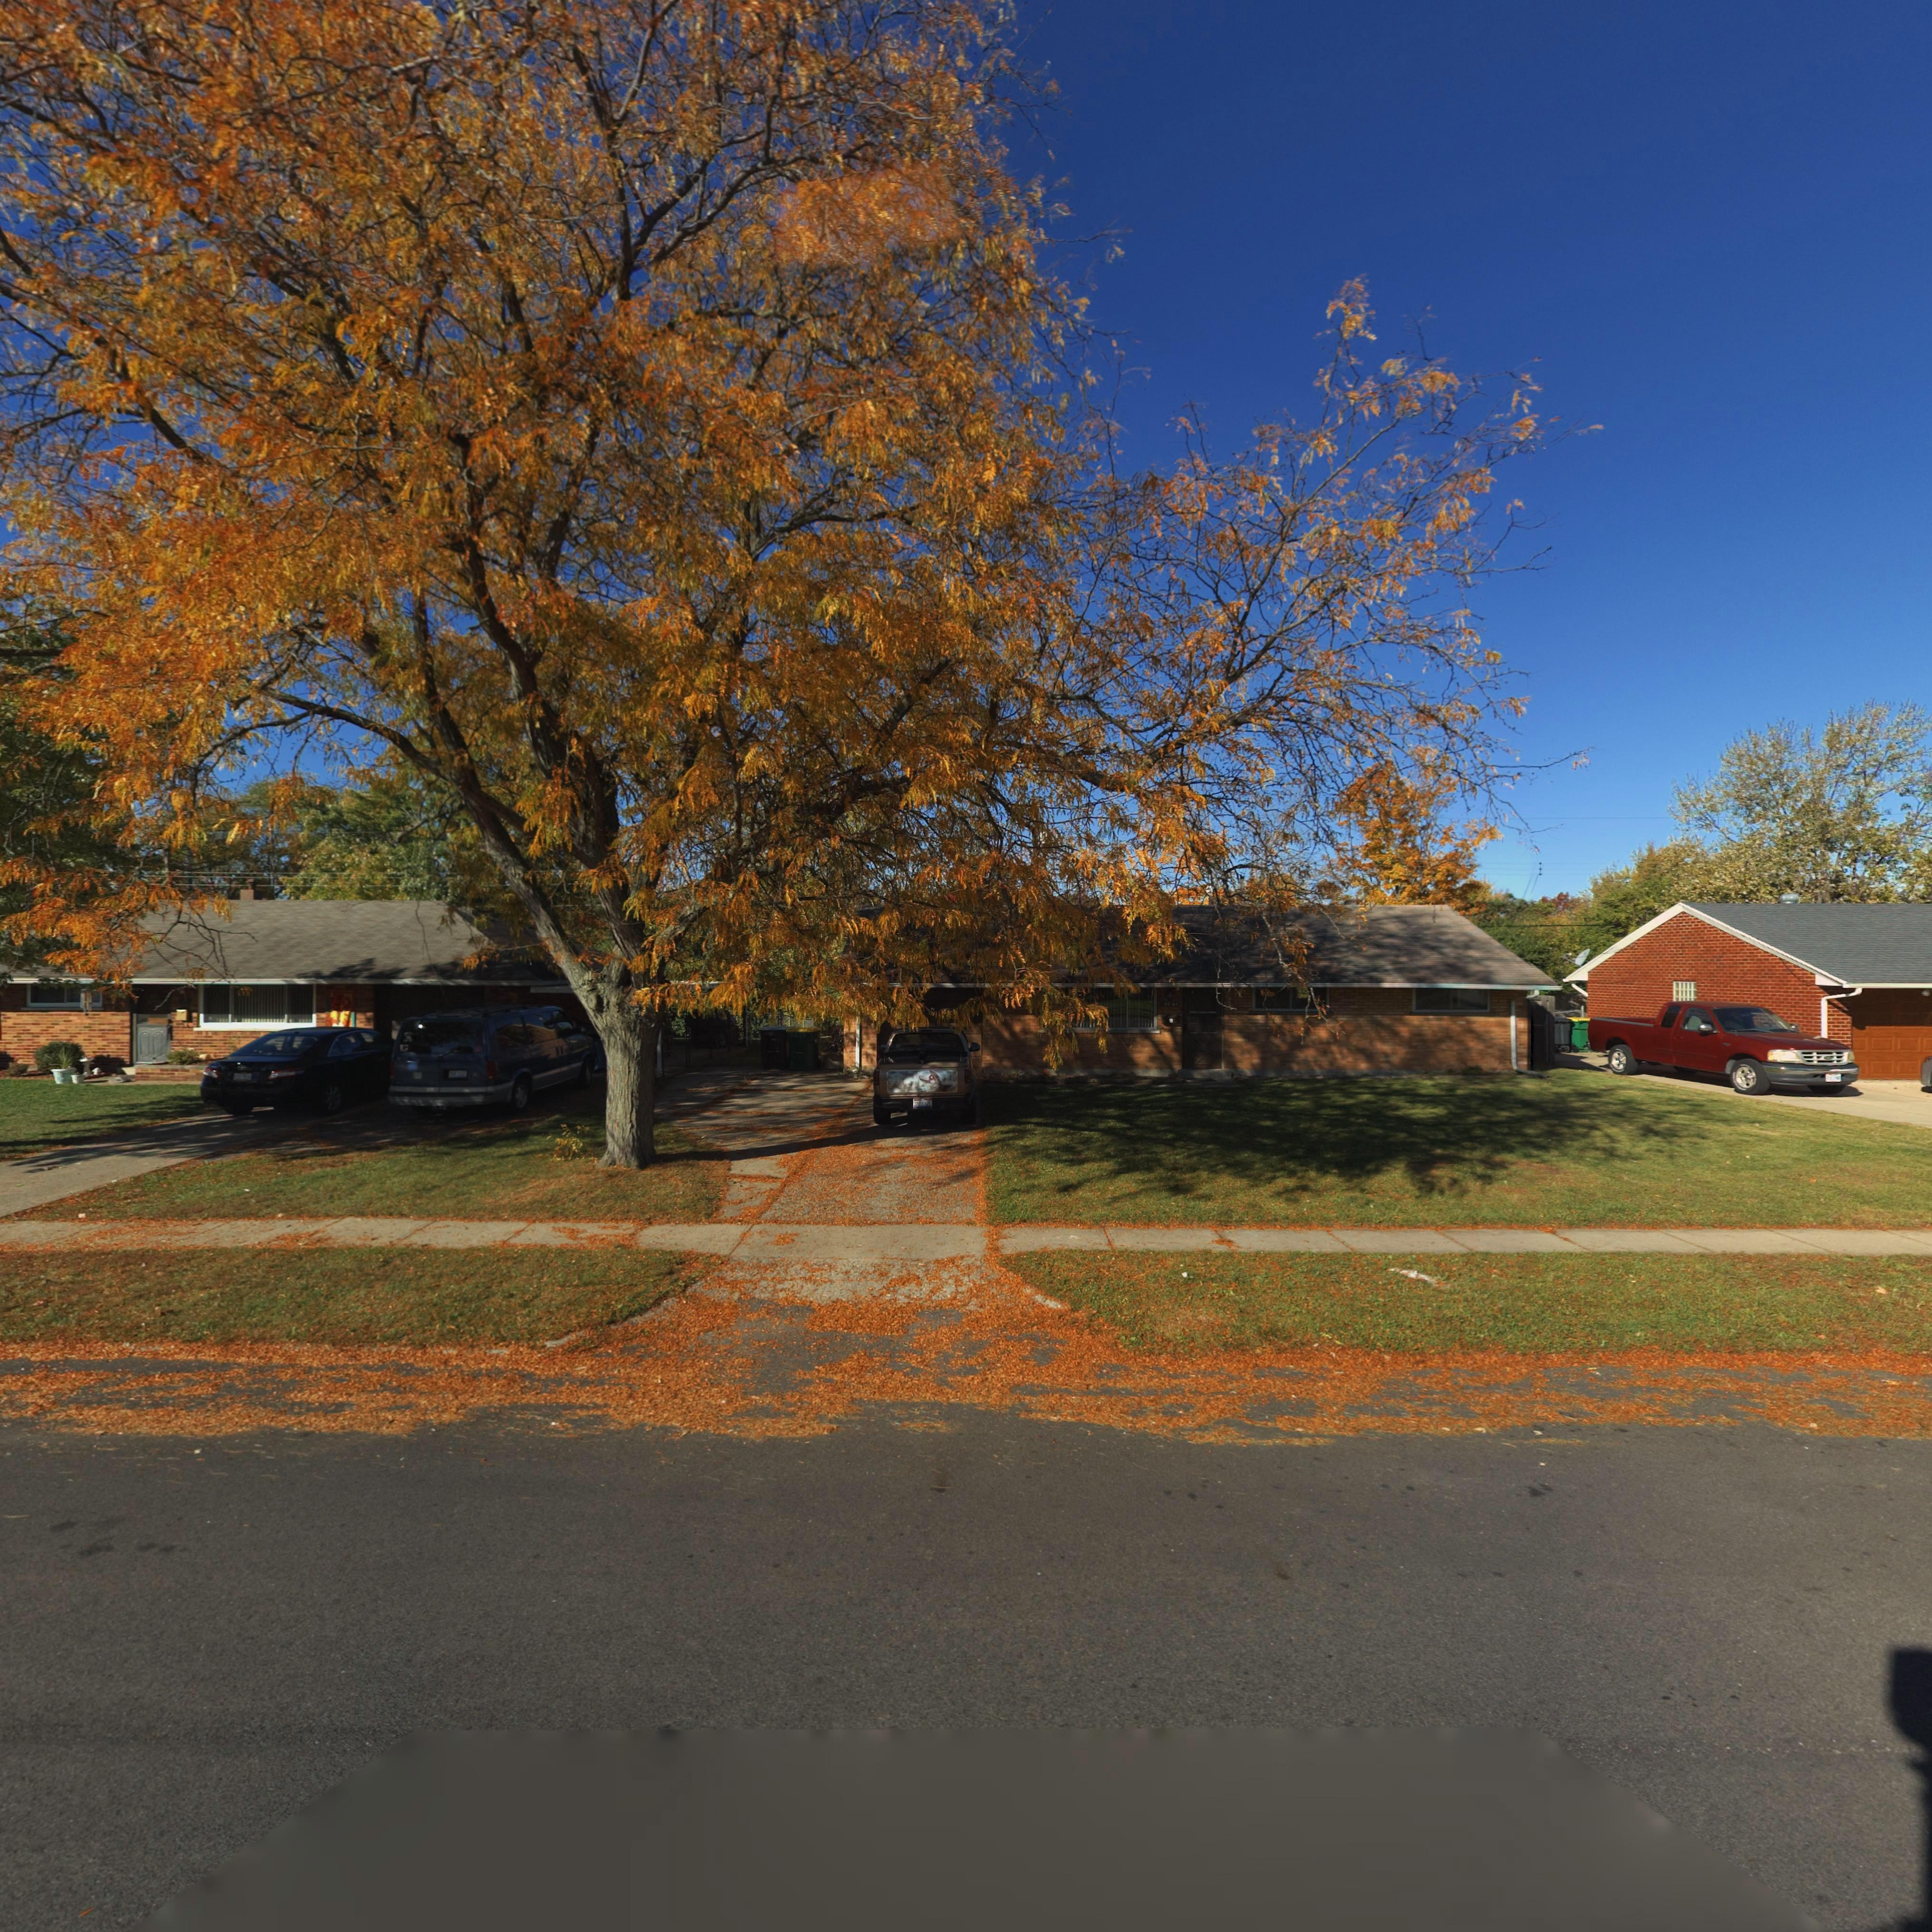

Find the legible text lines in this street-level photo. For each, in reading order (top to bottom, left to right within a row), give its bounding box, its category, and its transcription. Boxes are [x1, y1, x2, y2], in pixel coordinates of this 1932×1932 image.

[1164, 1001, 1178, 1006] StreetNumber: 4741